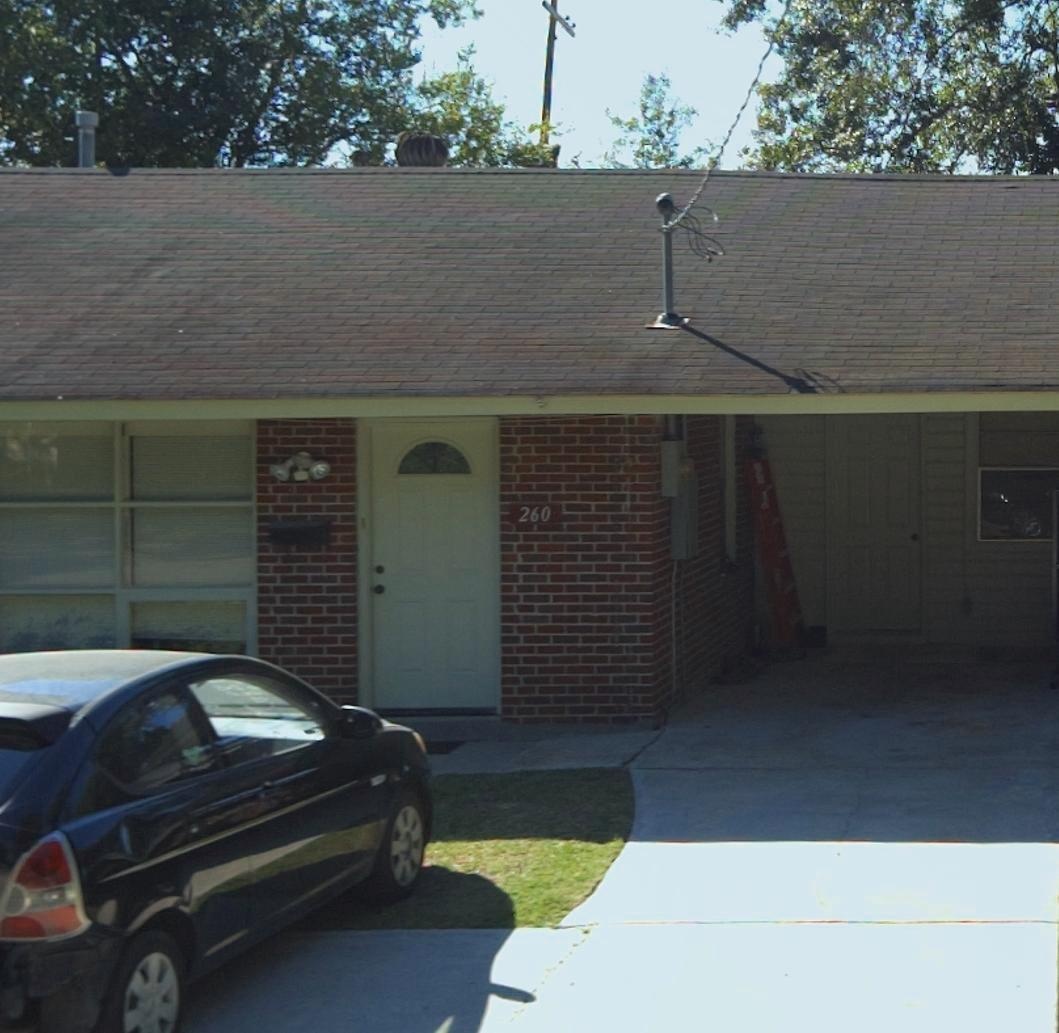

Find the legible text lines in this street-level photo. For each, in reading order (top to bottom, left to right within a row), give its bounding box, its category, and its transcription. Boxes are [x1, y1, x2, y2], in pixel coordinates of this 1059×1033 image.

[517, 505, 553, 523] StreetNumber: 260